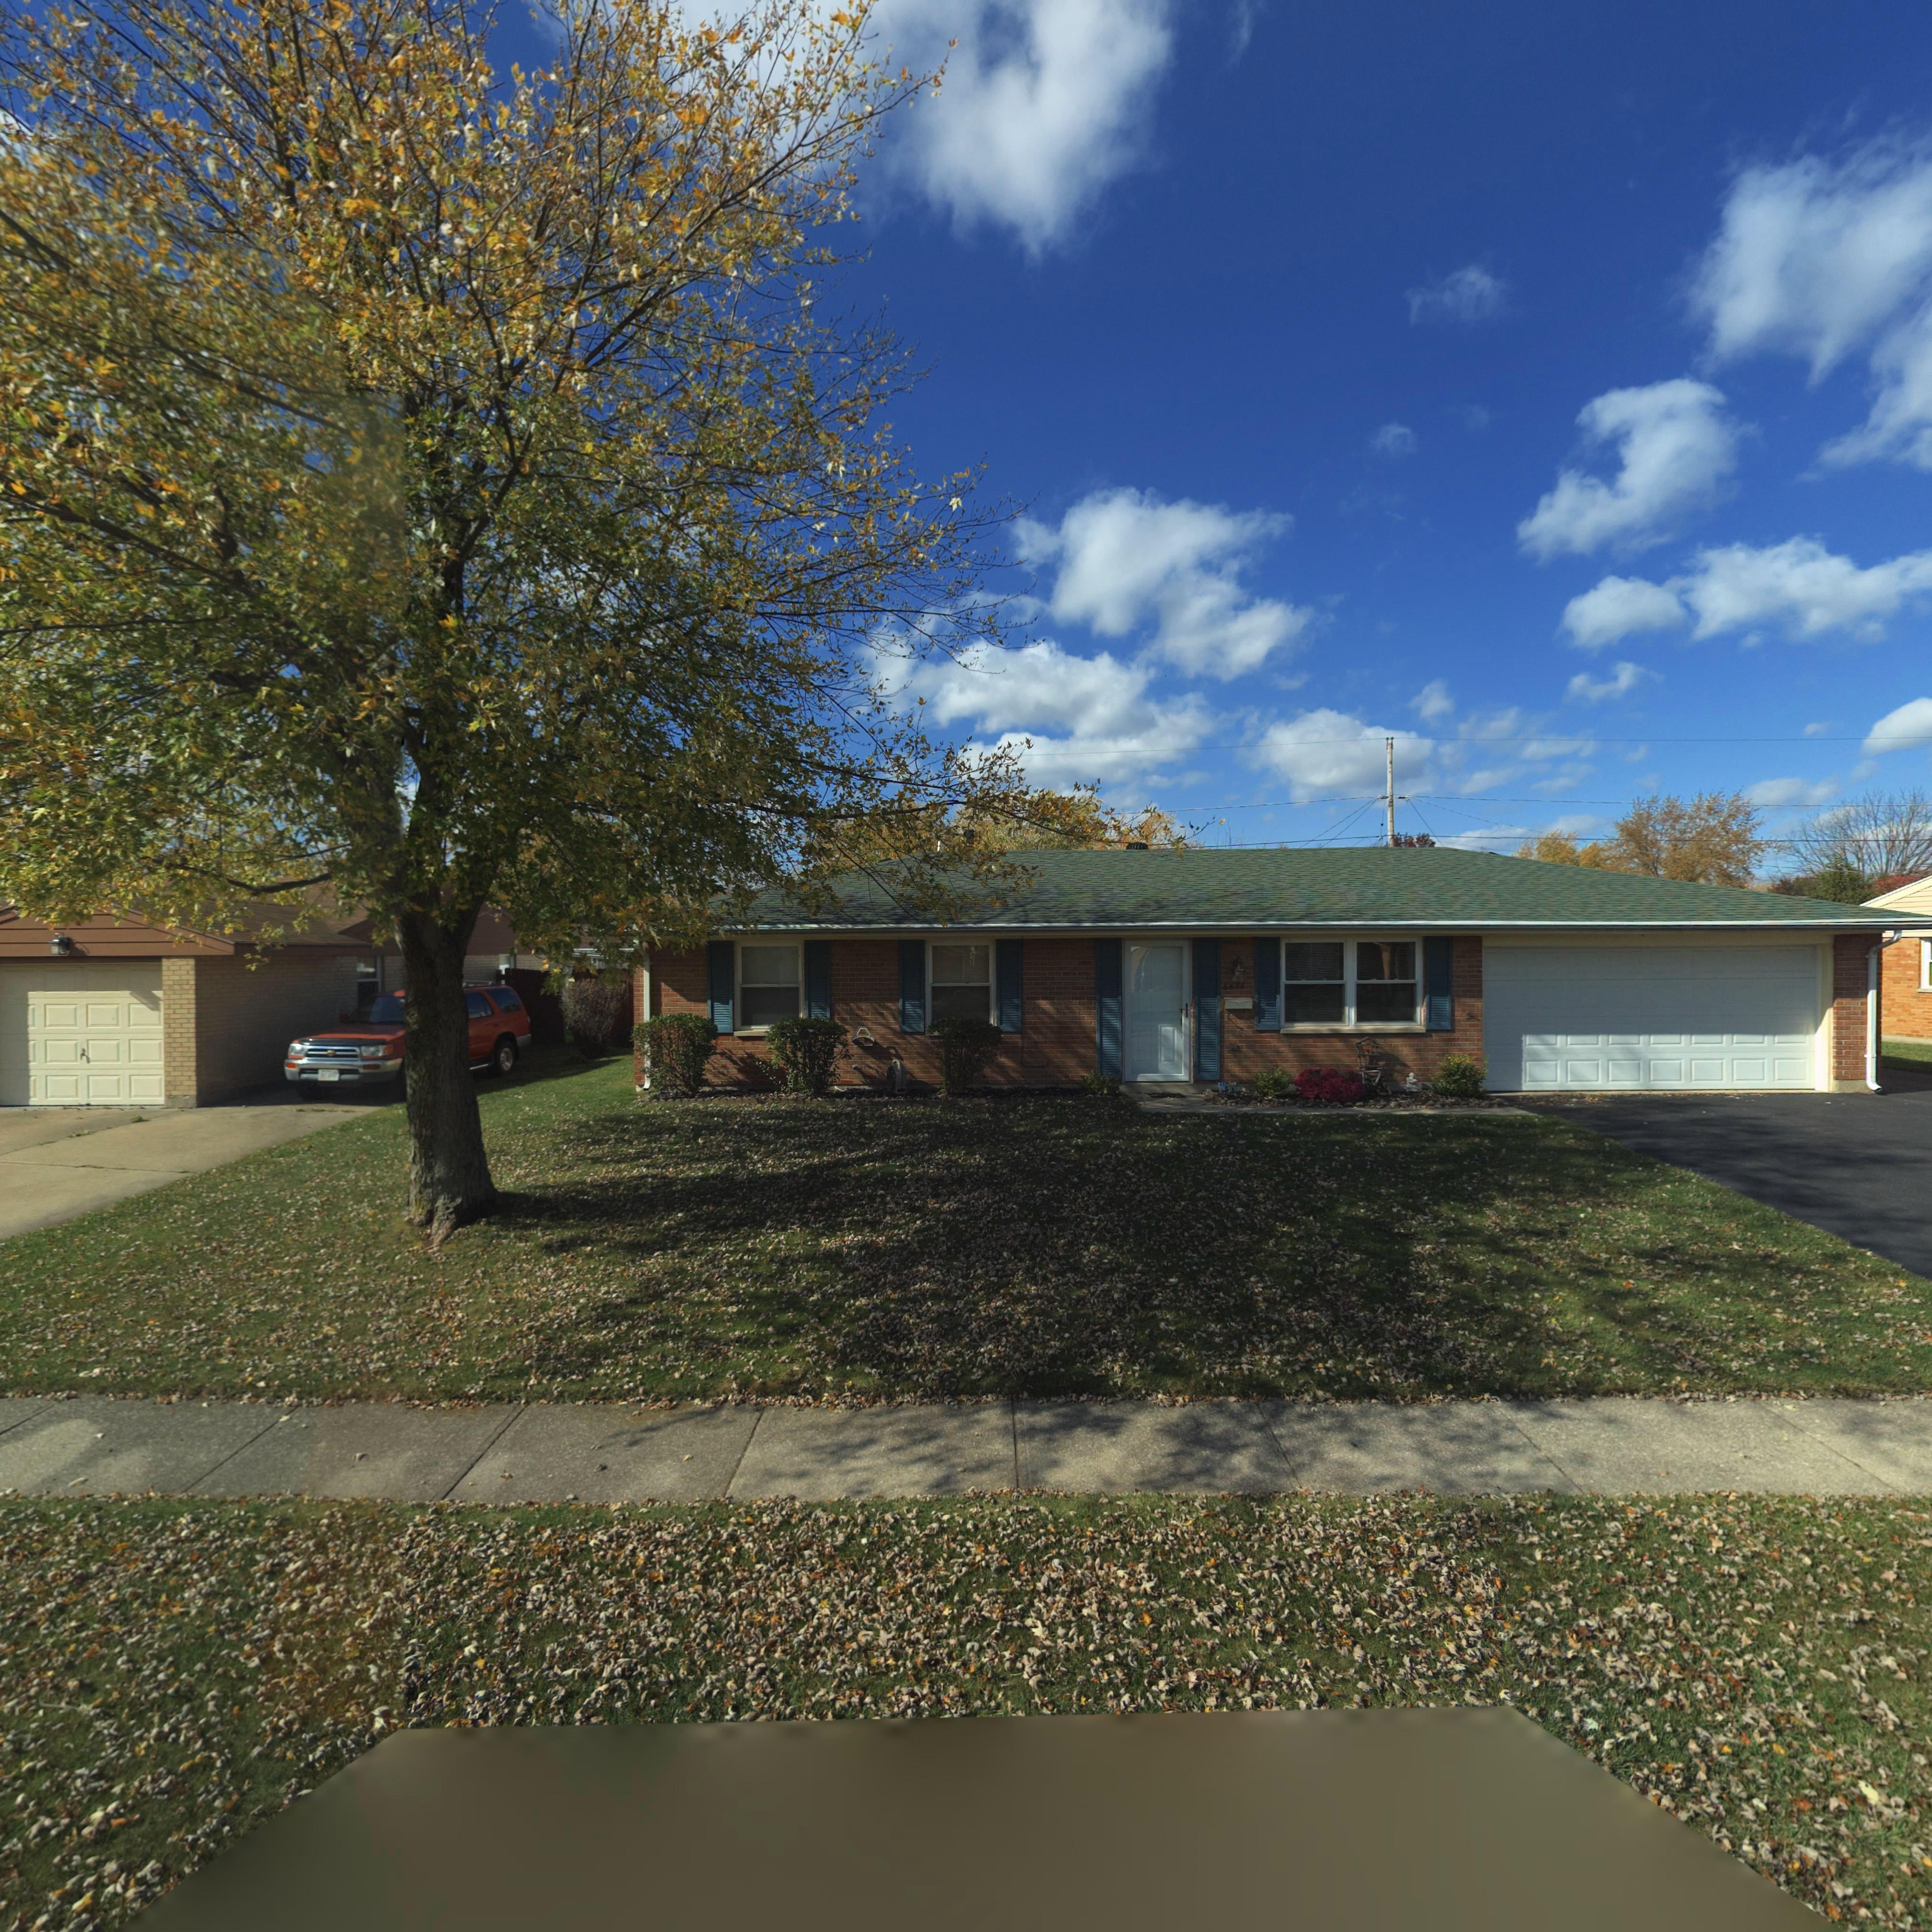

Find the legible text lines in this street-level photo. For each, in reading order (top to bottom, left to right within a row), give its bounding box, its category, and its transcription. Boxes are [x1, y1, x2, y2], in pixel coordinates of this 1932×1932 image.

[1222, 982, 1245, 991] StreetNumber: 6671